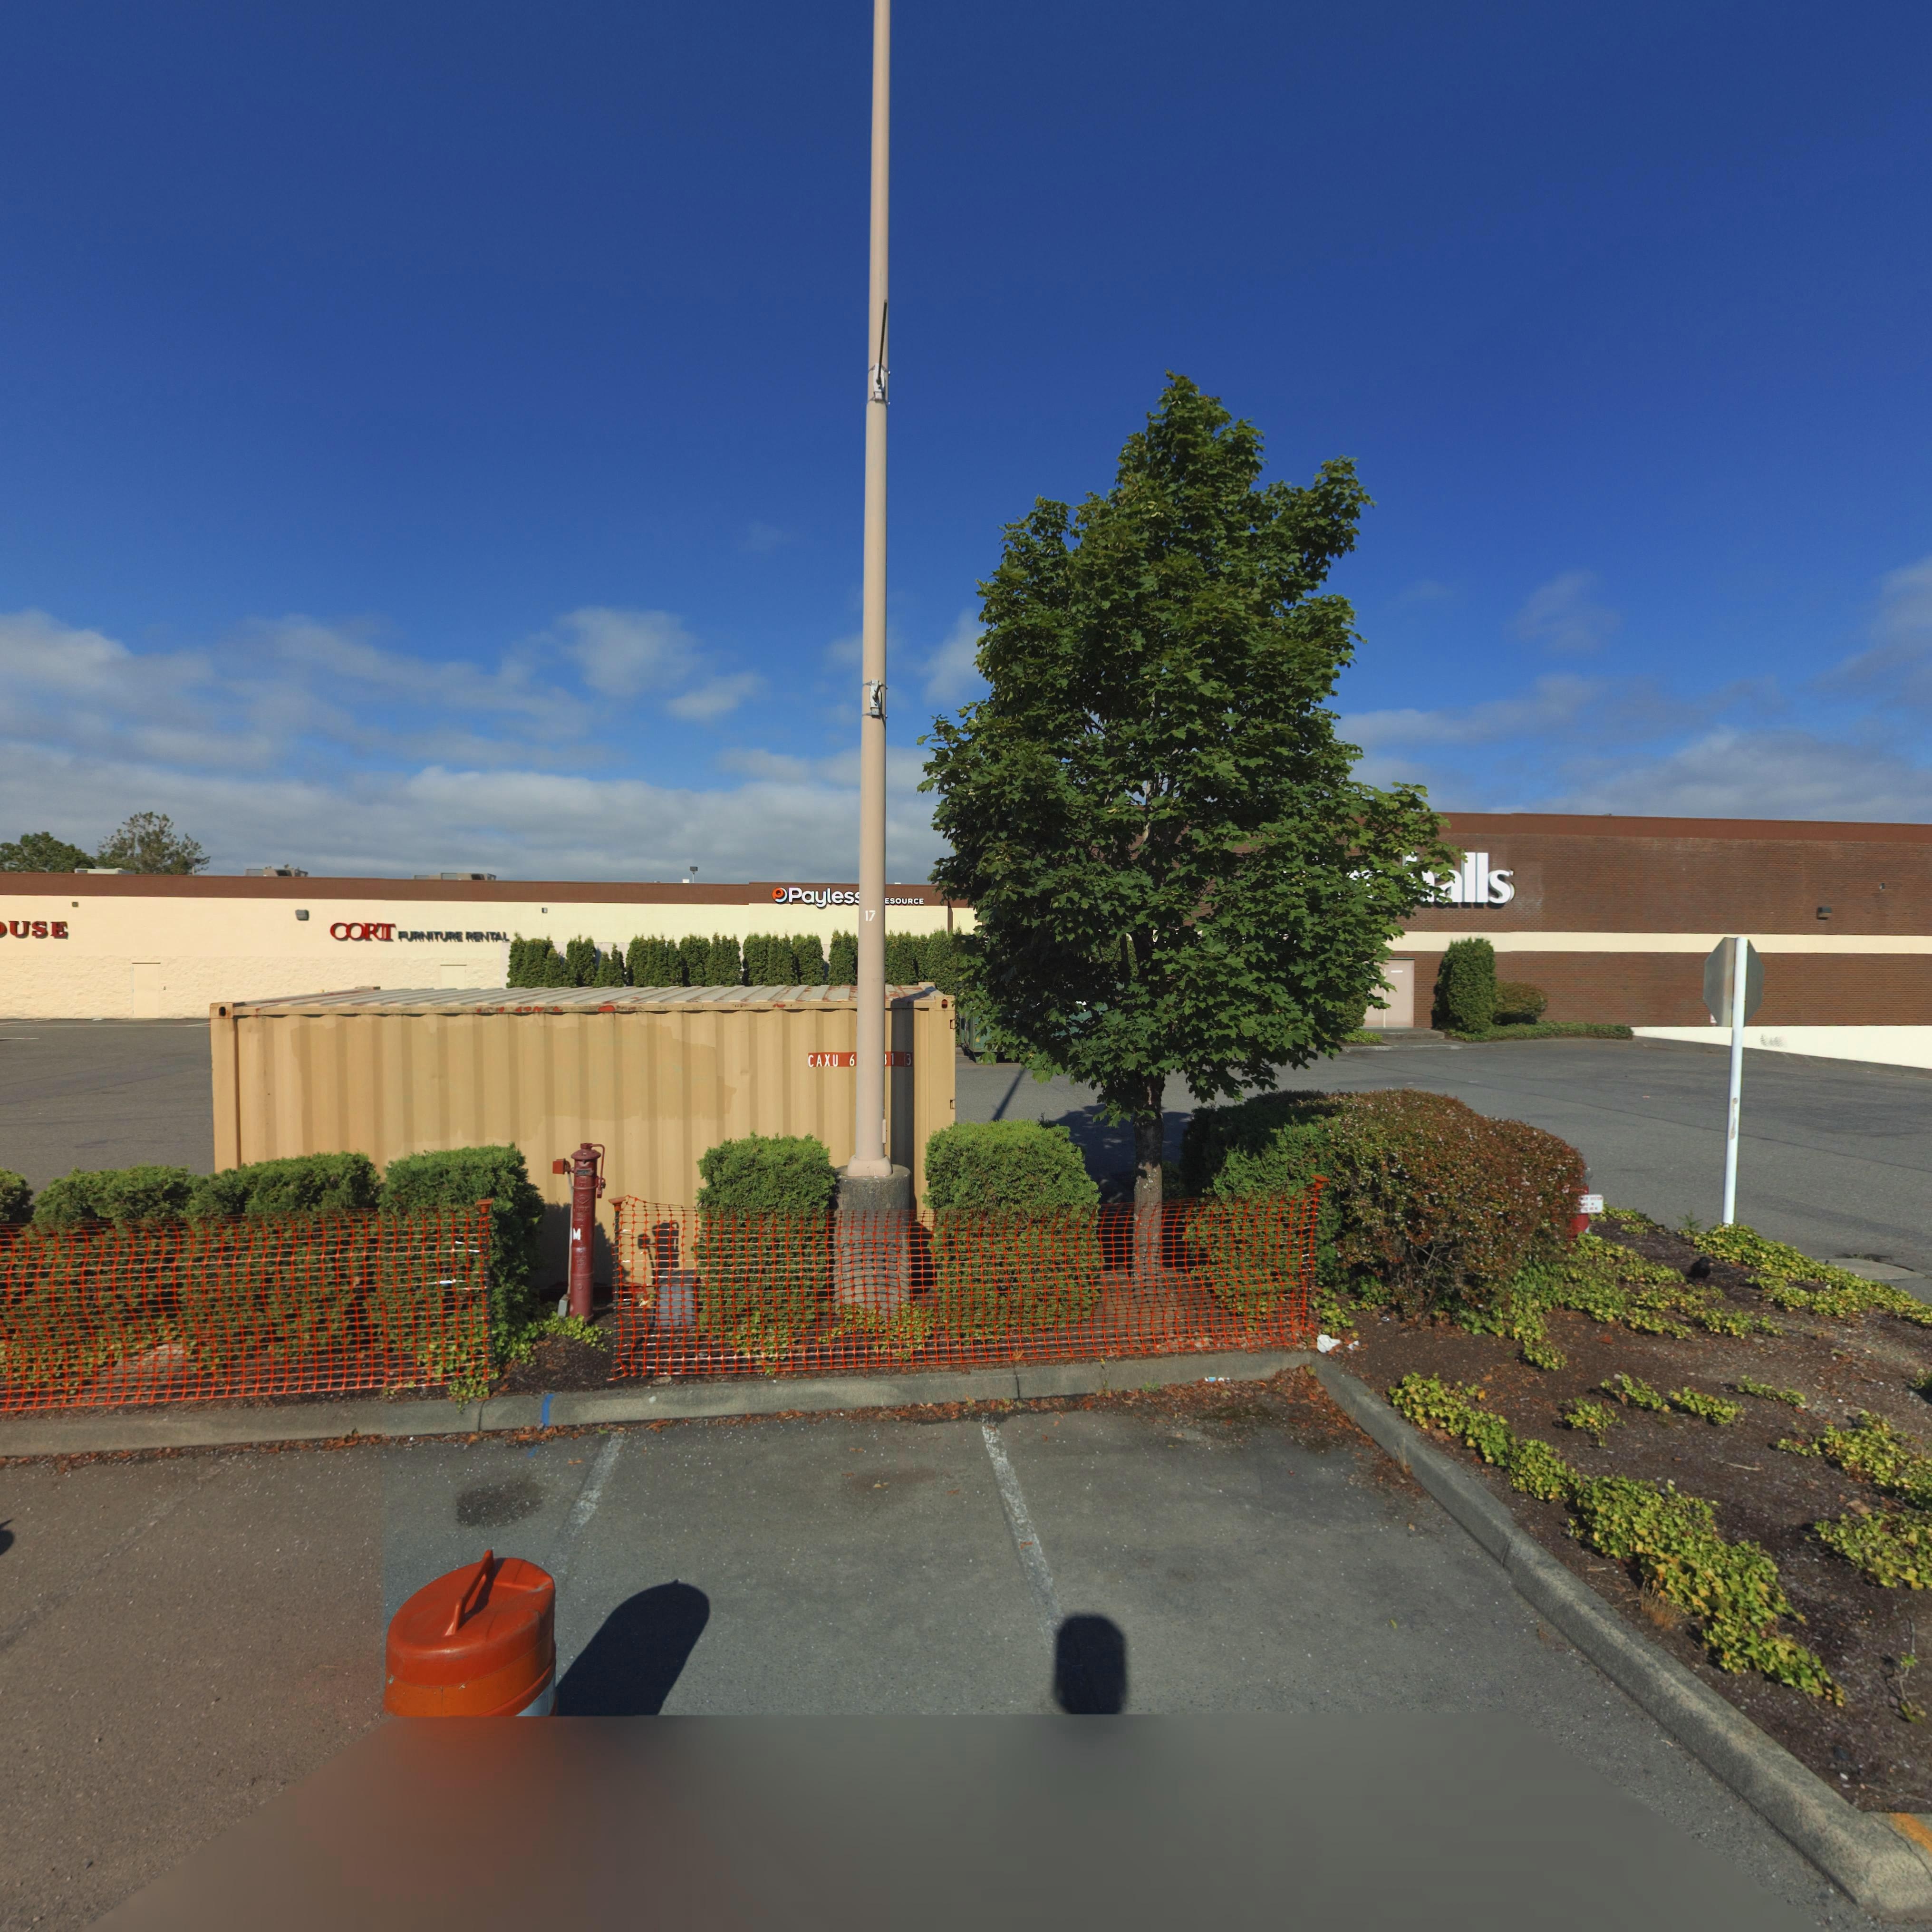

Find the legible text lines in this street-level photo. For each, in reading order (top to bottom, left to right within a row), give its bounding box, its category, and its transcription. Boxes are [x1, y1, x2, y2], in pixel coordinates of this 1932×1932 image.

[1434, 849, 1514, 906] BusinessName: *lls
[788, 886, 860, 909] BusinessName: Payles*
[883, 896, 925, 905] BusinessName: ESOURCE
[5, 917, 70, 941] BusinessName: USE
[329, 921, 397, 943] BusinessName: CORT